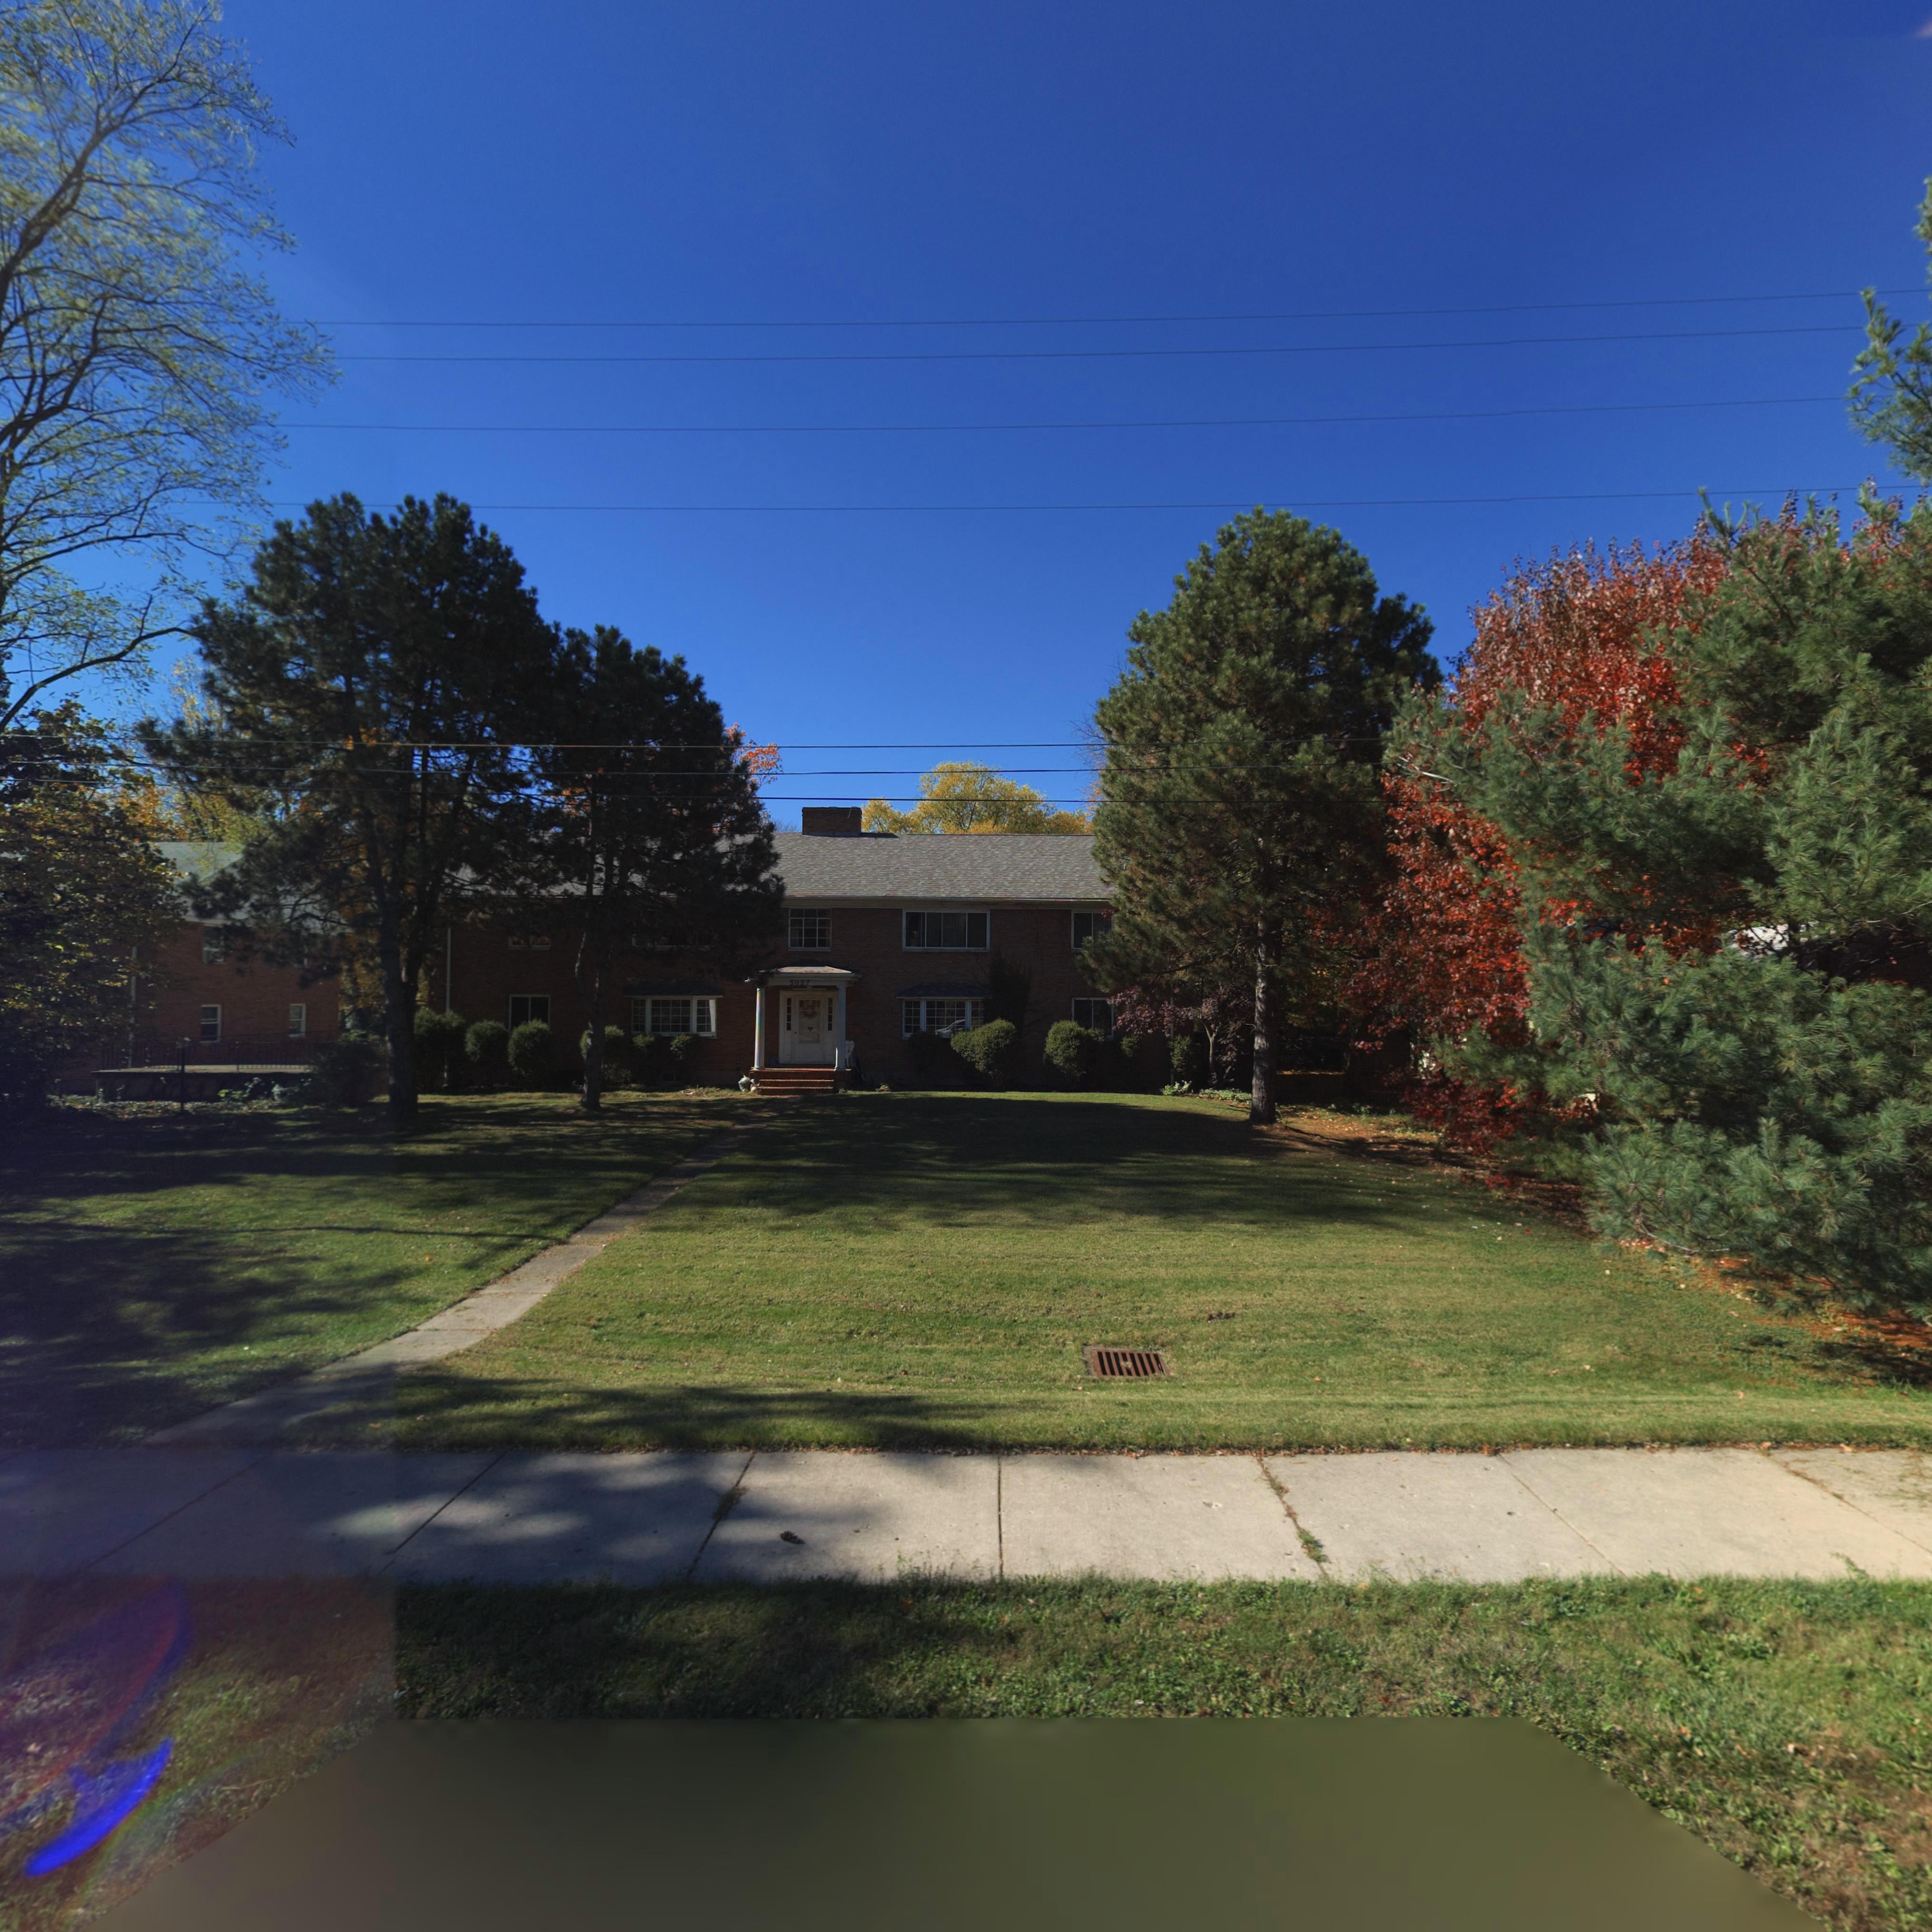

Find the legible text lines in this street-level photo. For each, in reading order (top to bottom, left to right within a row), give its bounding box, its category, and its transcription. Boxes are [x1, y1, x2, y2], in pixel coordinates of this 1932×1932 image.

[788, 979, 810, 985] StreetNumber: 5027